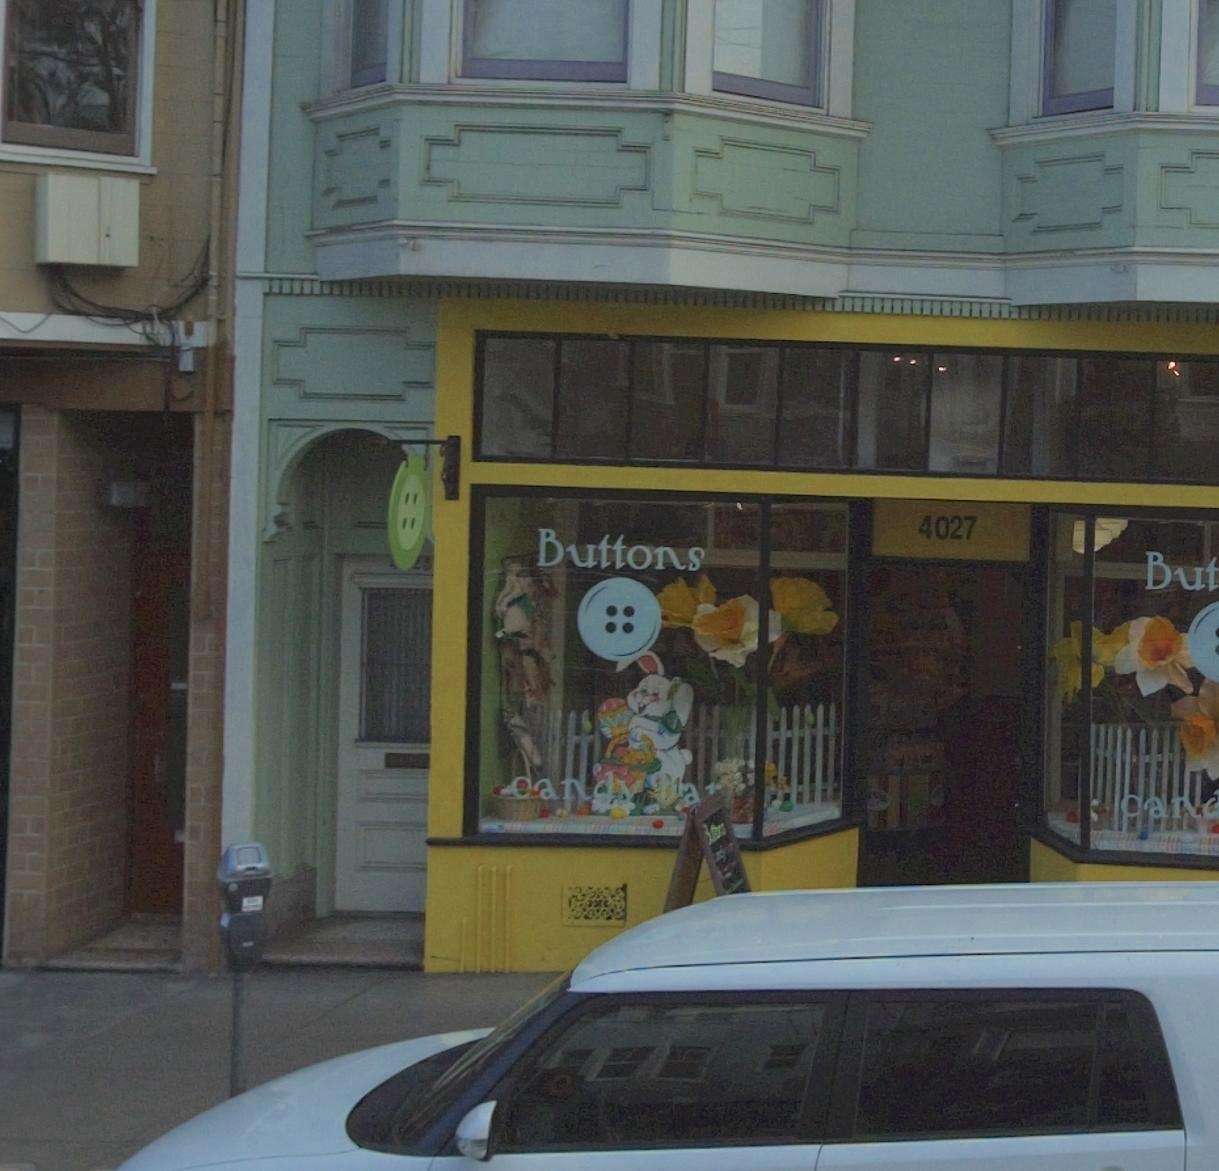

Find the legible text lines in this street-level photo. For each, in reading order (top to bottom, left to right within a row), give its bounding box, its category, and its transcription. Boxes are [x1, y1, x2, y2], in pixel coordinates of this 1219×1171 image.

[536, 526, 706, 572] BusinessName: Buttons
[917, 514, 978, 542] StreetNumber: 4027
[1146, 549, 1218, 594] BusinessName: But